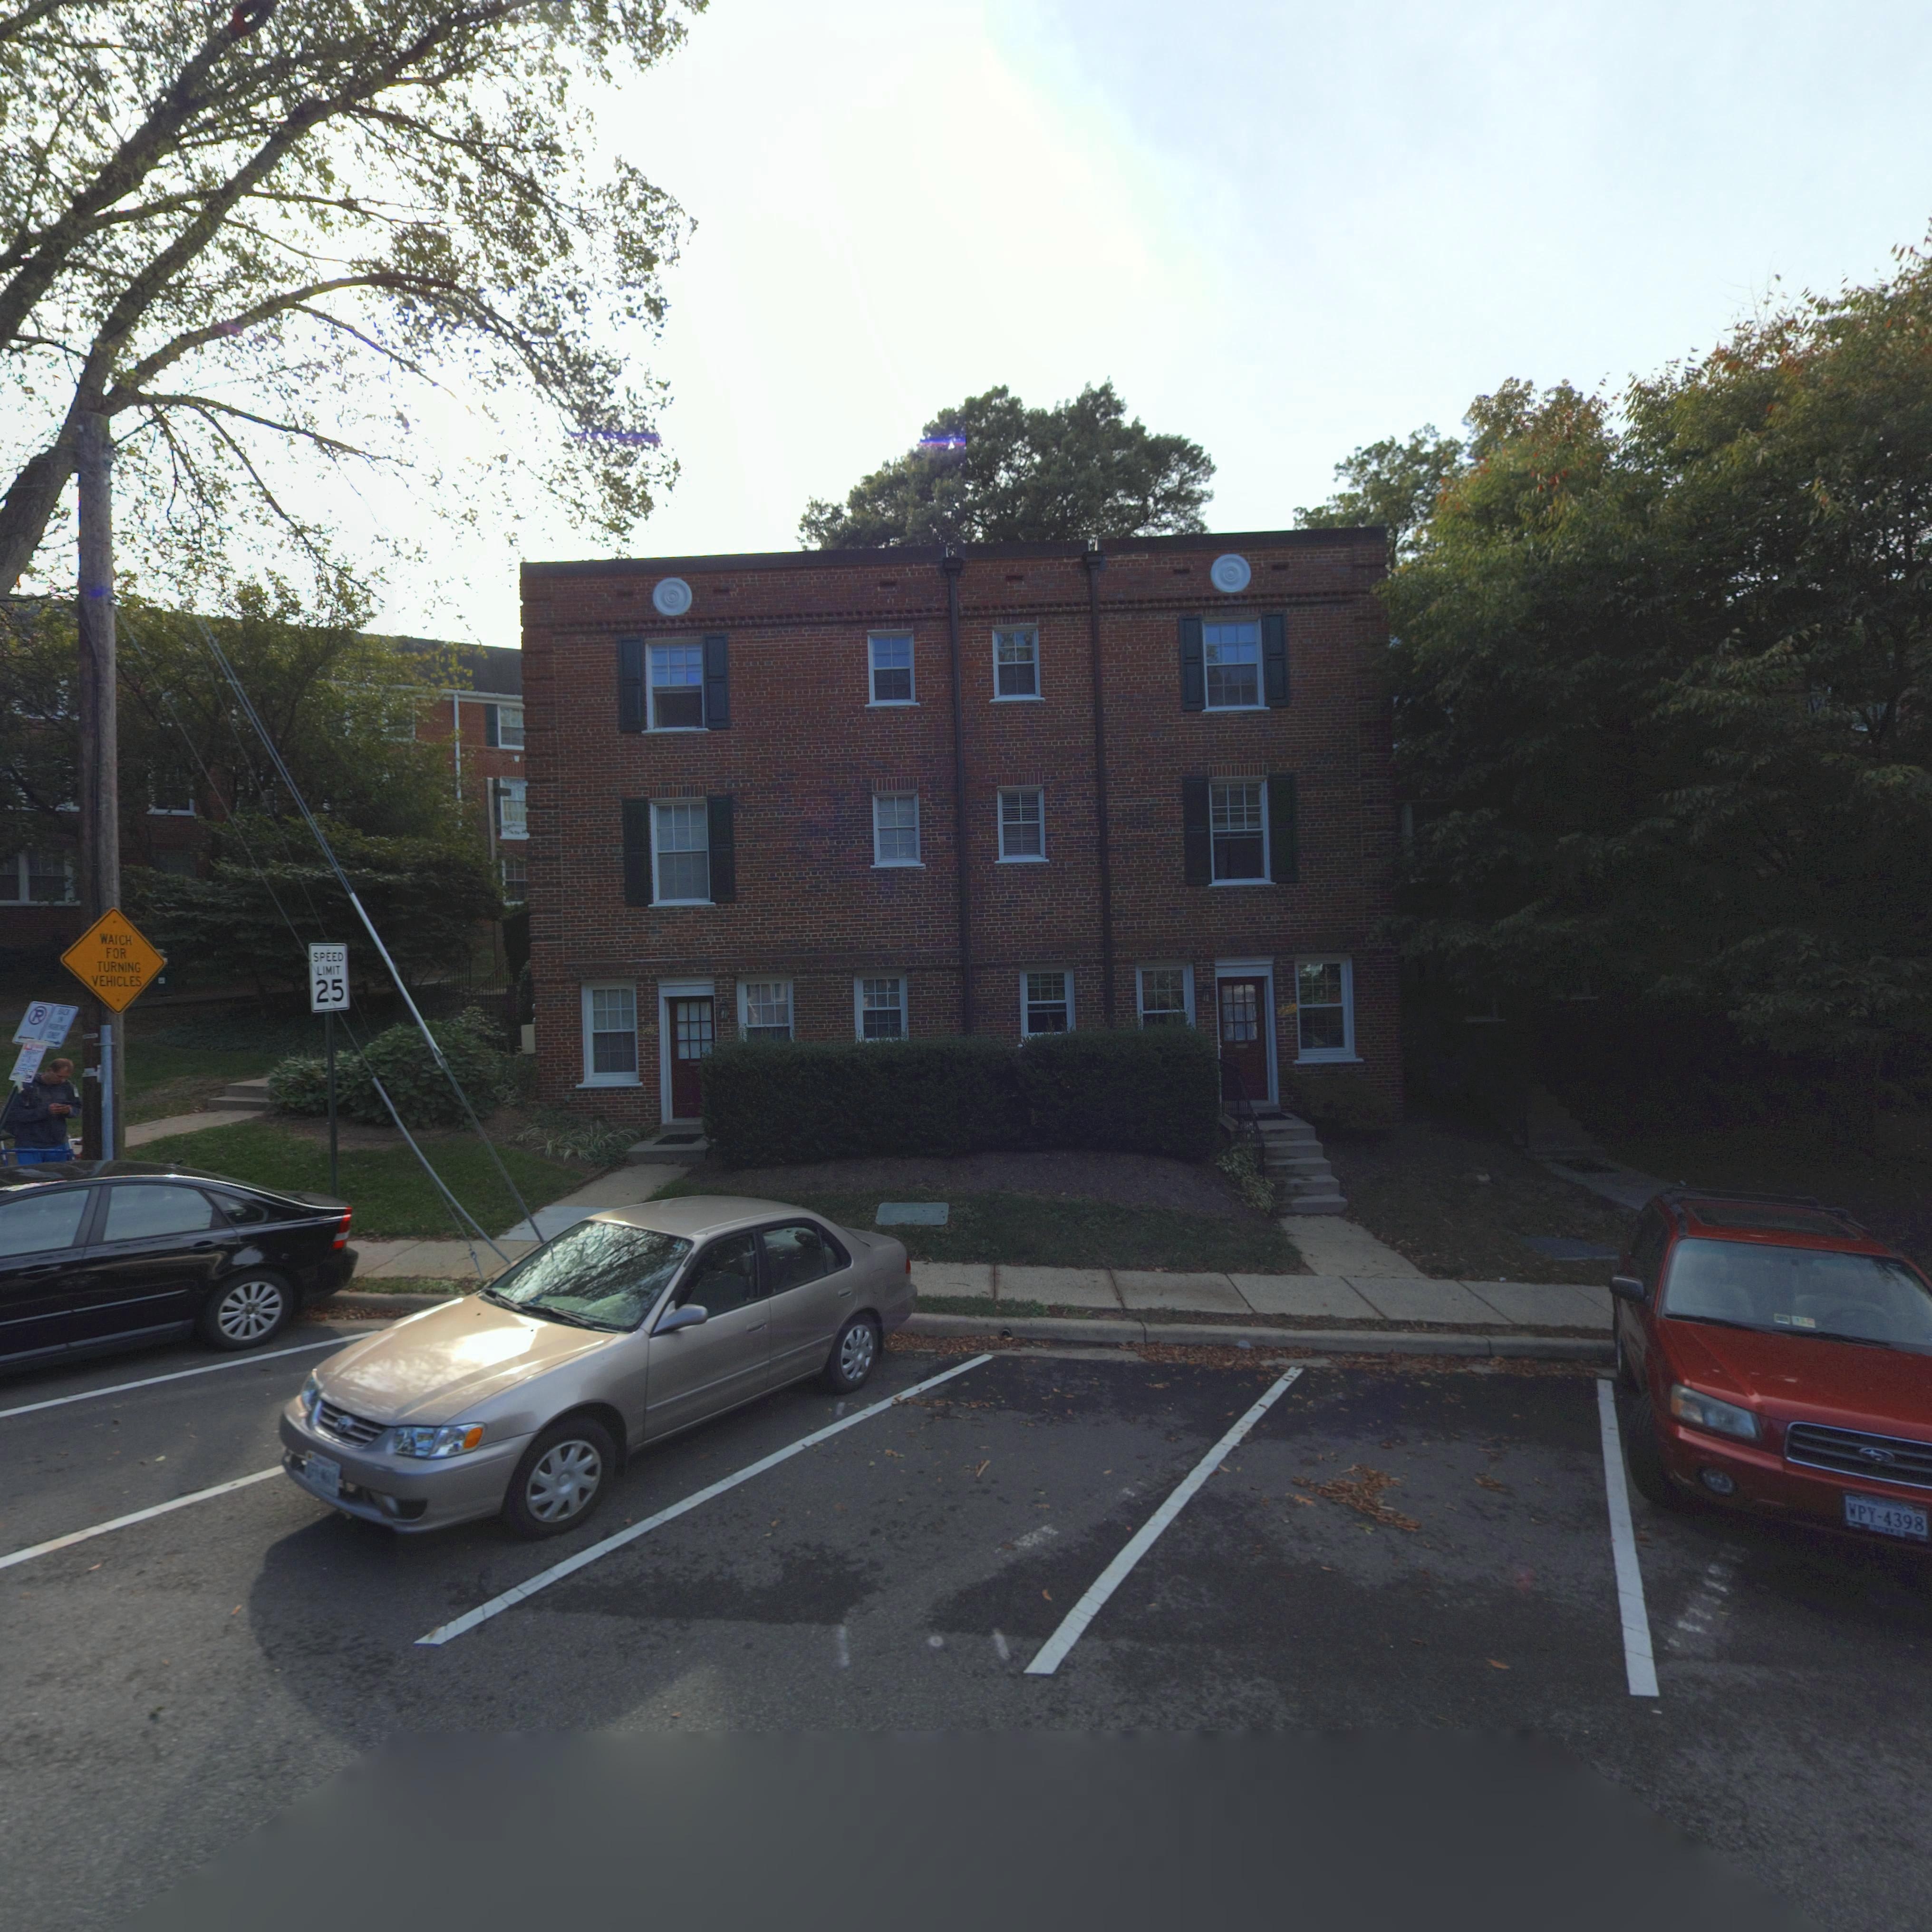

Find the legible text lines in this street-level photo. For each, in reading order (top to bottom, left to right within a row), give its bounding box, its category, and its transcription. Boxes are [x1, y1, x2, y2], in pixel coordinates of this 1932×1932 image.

[97, 930, 135, 949] None: WATCH
[104, 945, 129, 962] None: FOR
[311, 949, 345, 964] None: SPEED
[95, 959, 143, 975] None: TURNING
[315, 963, 342, 978] None: LIMIT
[88, 974, 146, 990] None: VEHICLES
[313, 975, 346, 1006] None: 25
[1846, 1499, 1927, 1536] None: WPY-4398